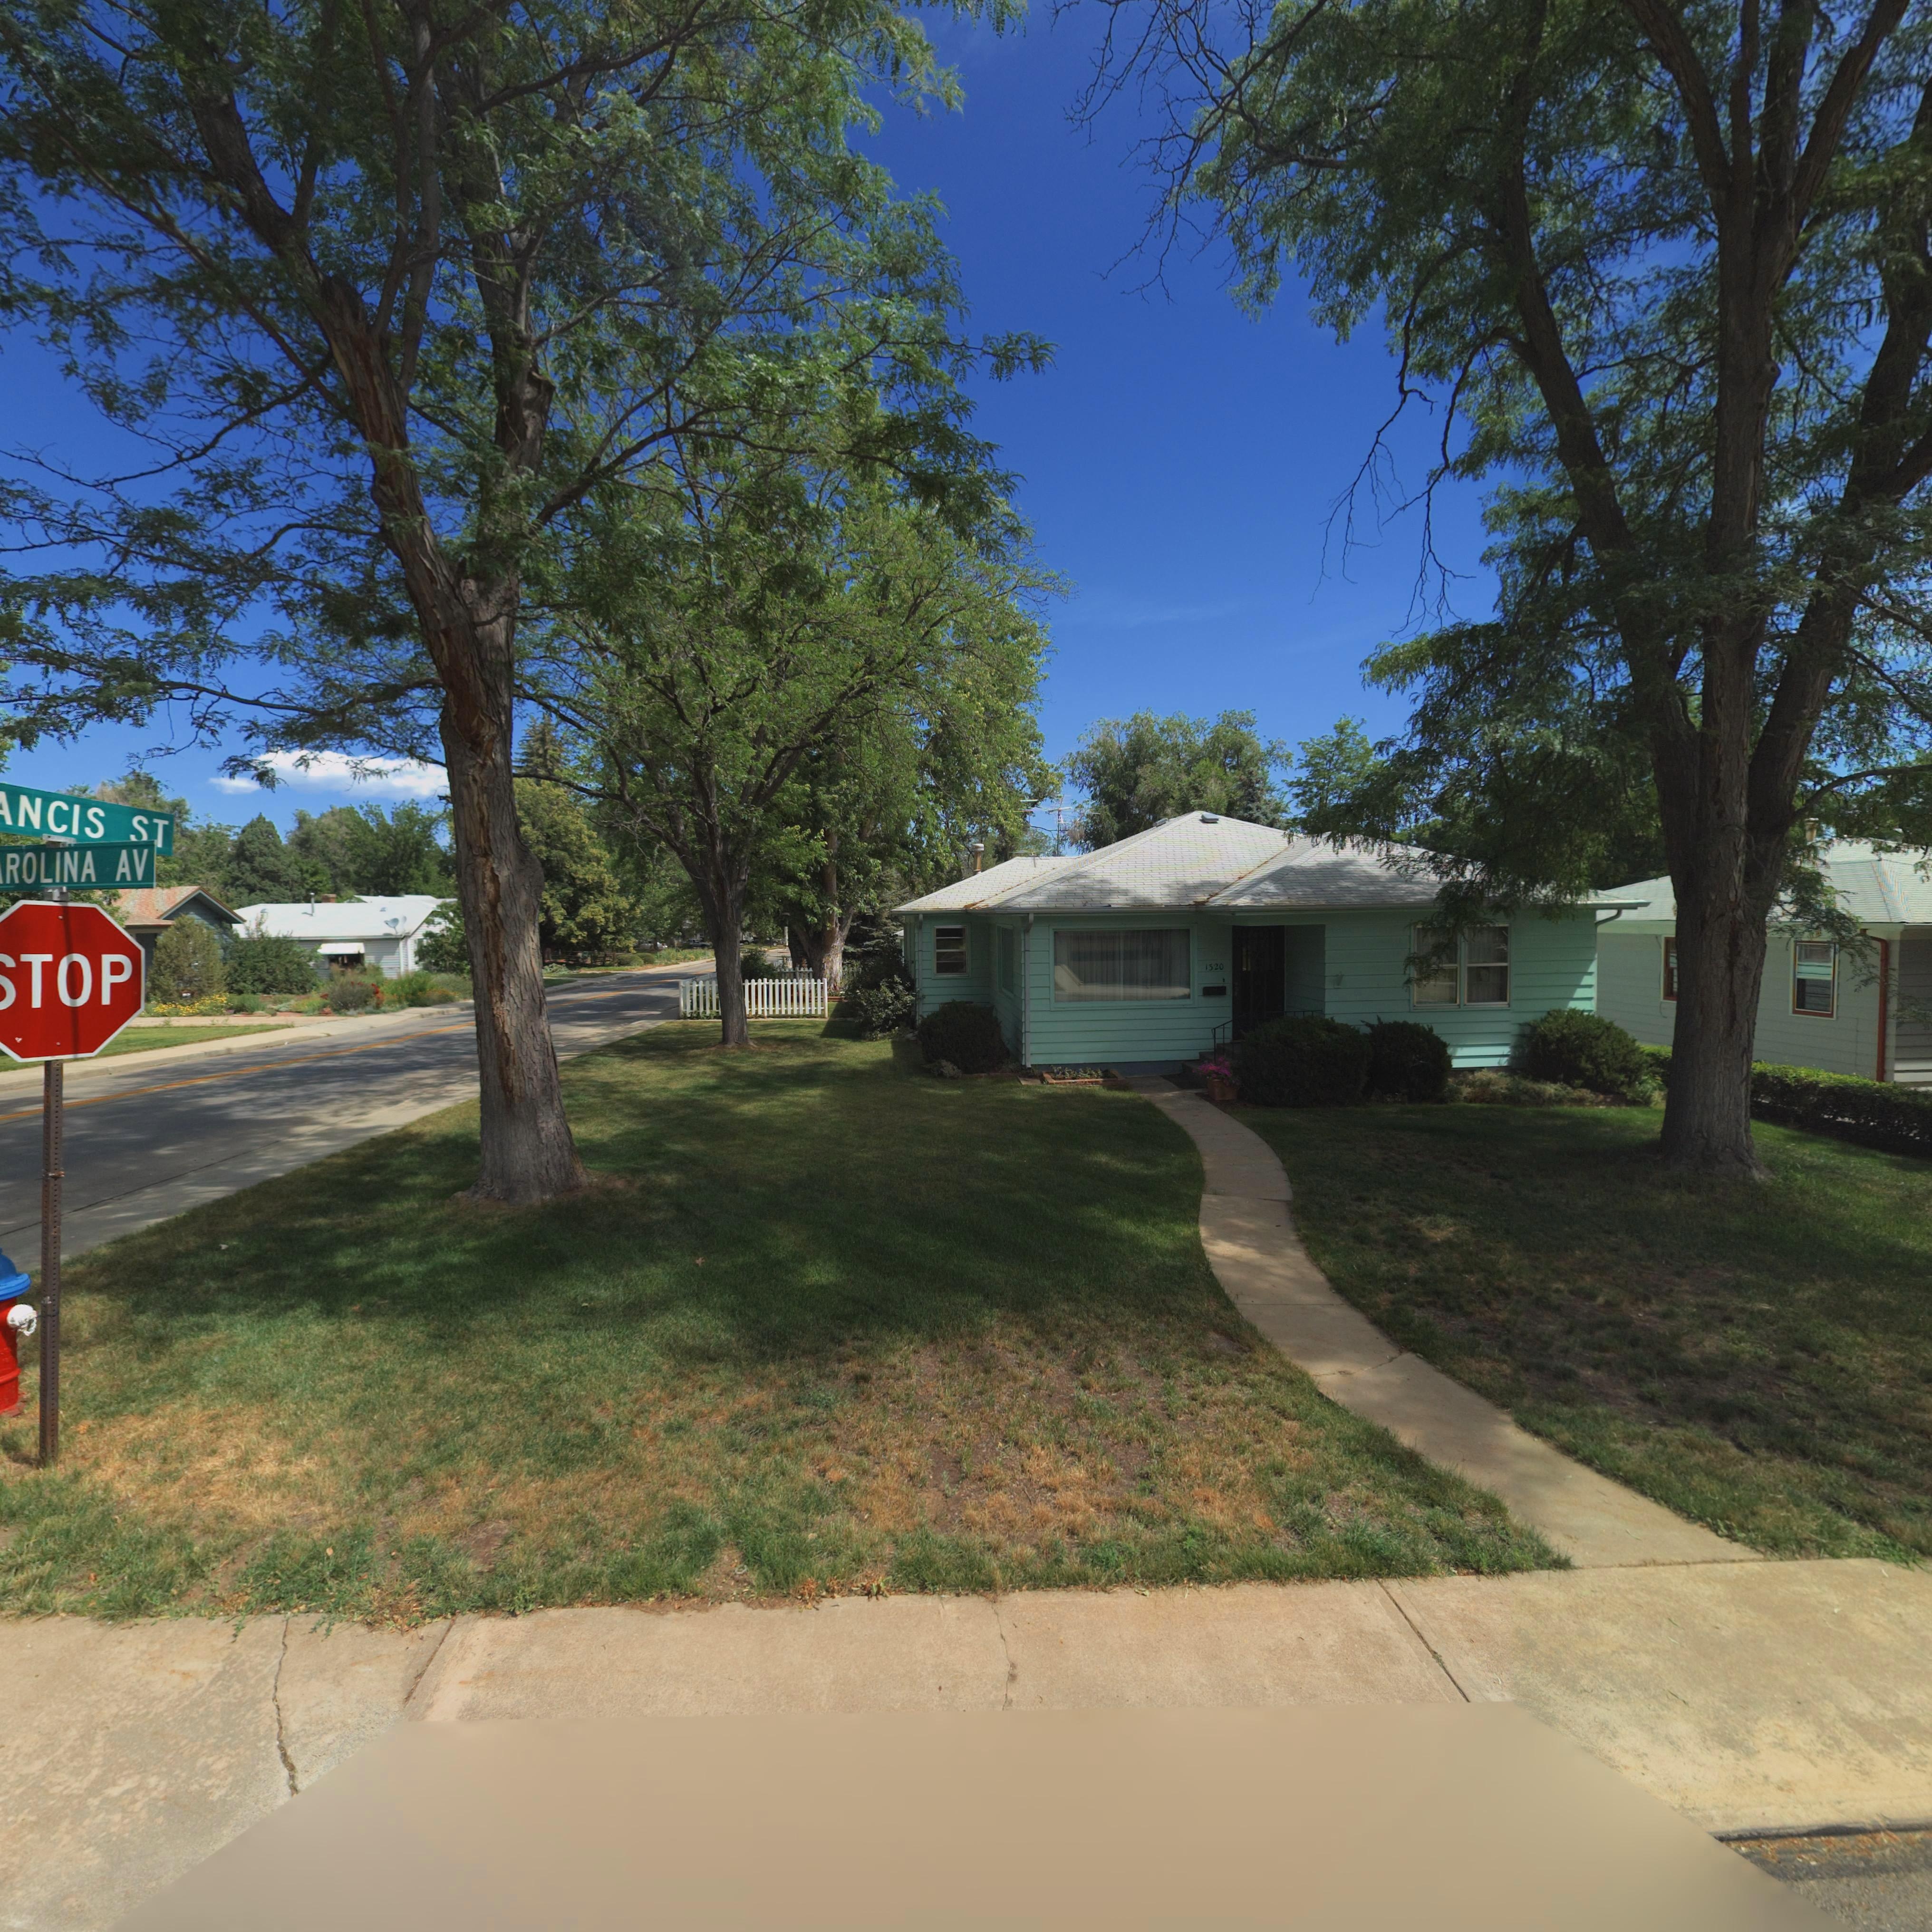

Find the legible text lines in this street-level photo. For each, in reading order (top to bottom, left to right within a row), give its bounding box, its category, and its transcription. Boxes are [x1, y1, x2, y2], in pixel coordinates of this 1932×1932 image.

[17, 793, 169, 848] StreetName: NCIS ST
[4, 848, 149, 884] StreetName: ROLINA AV
[1205, 962, 1224, 971] StreetNumber: 1320